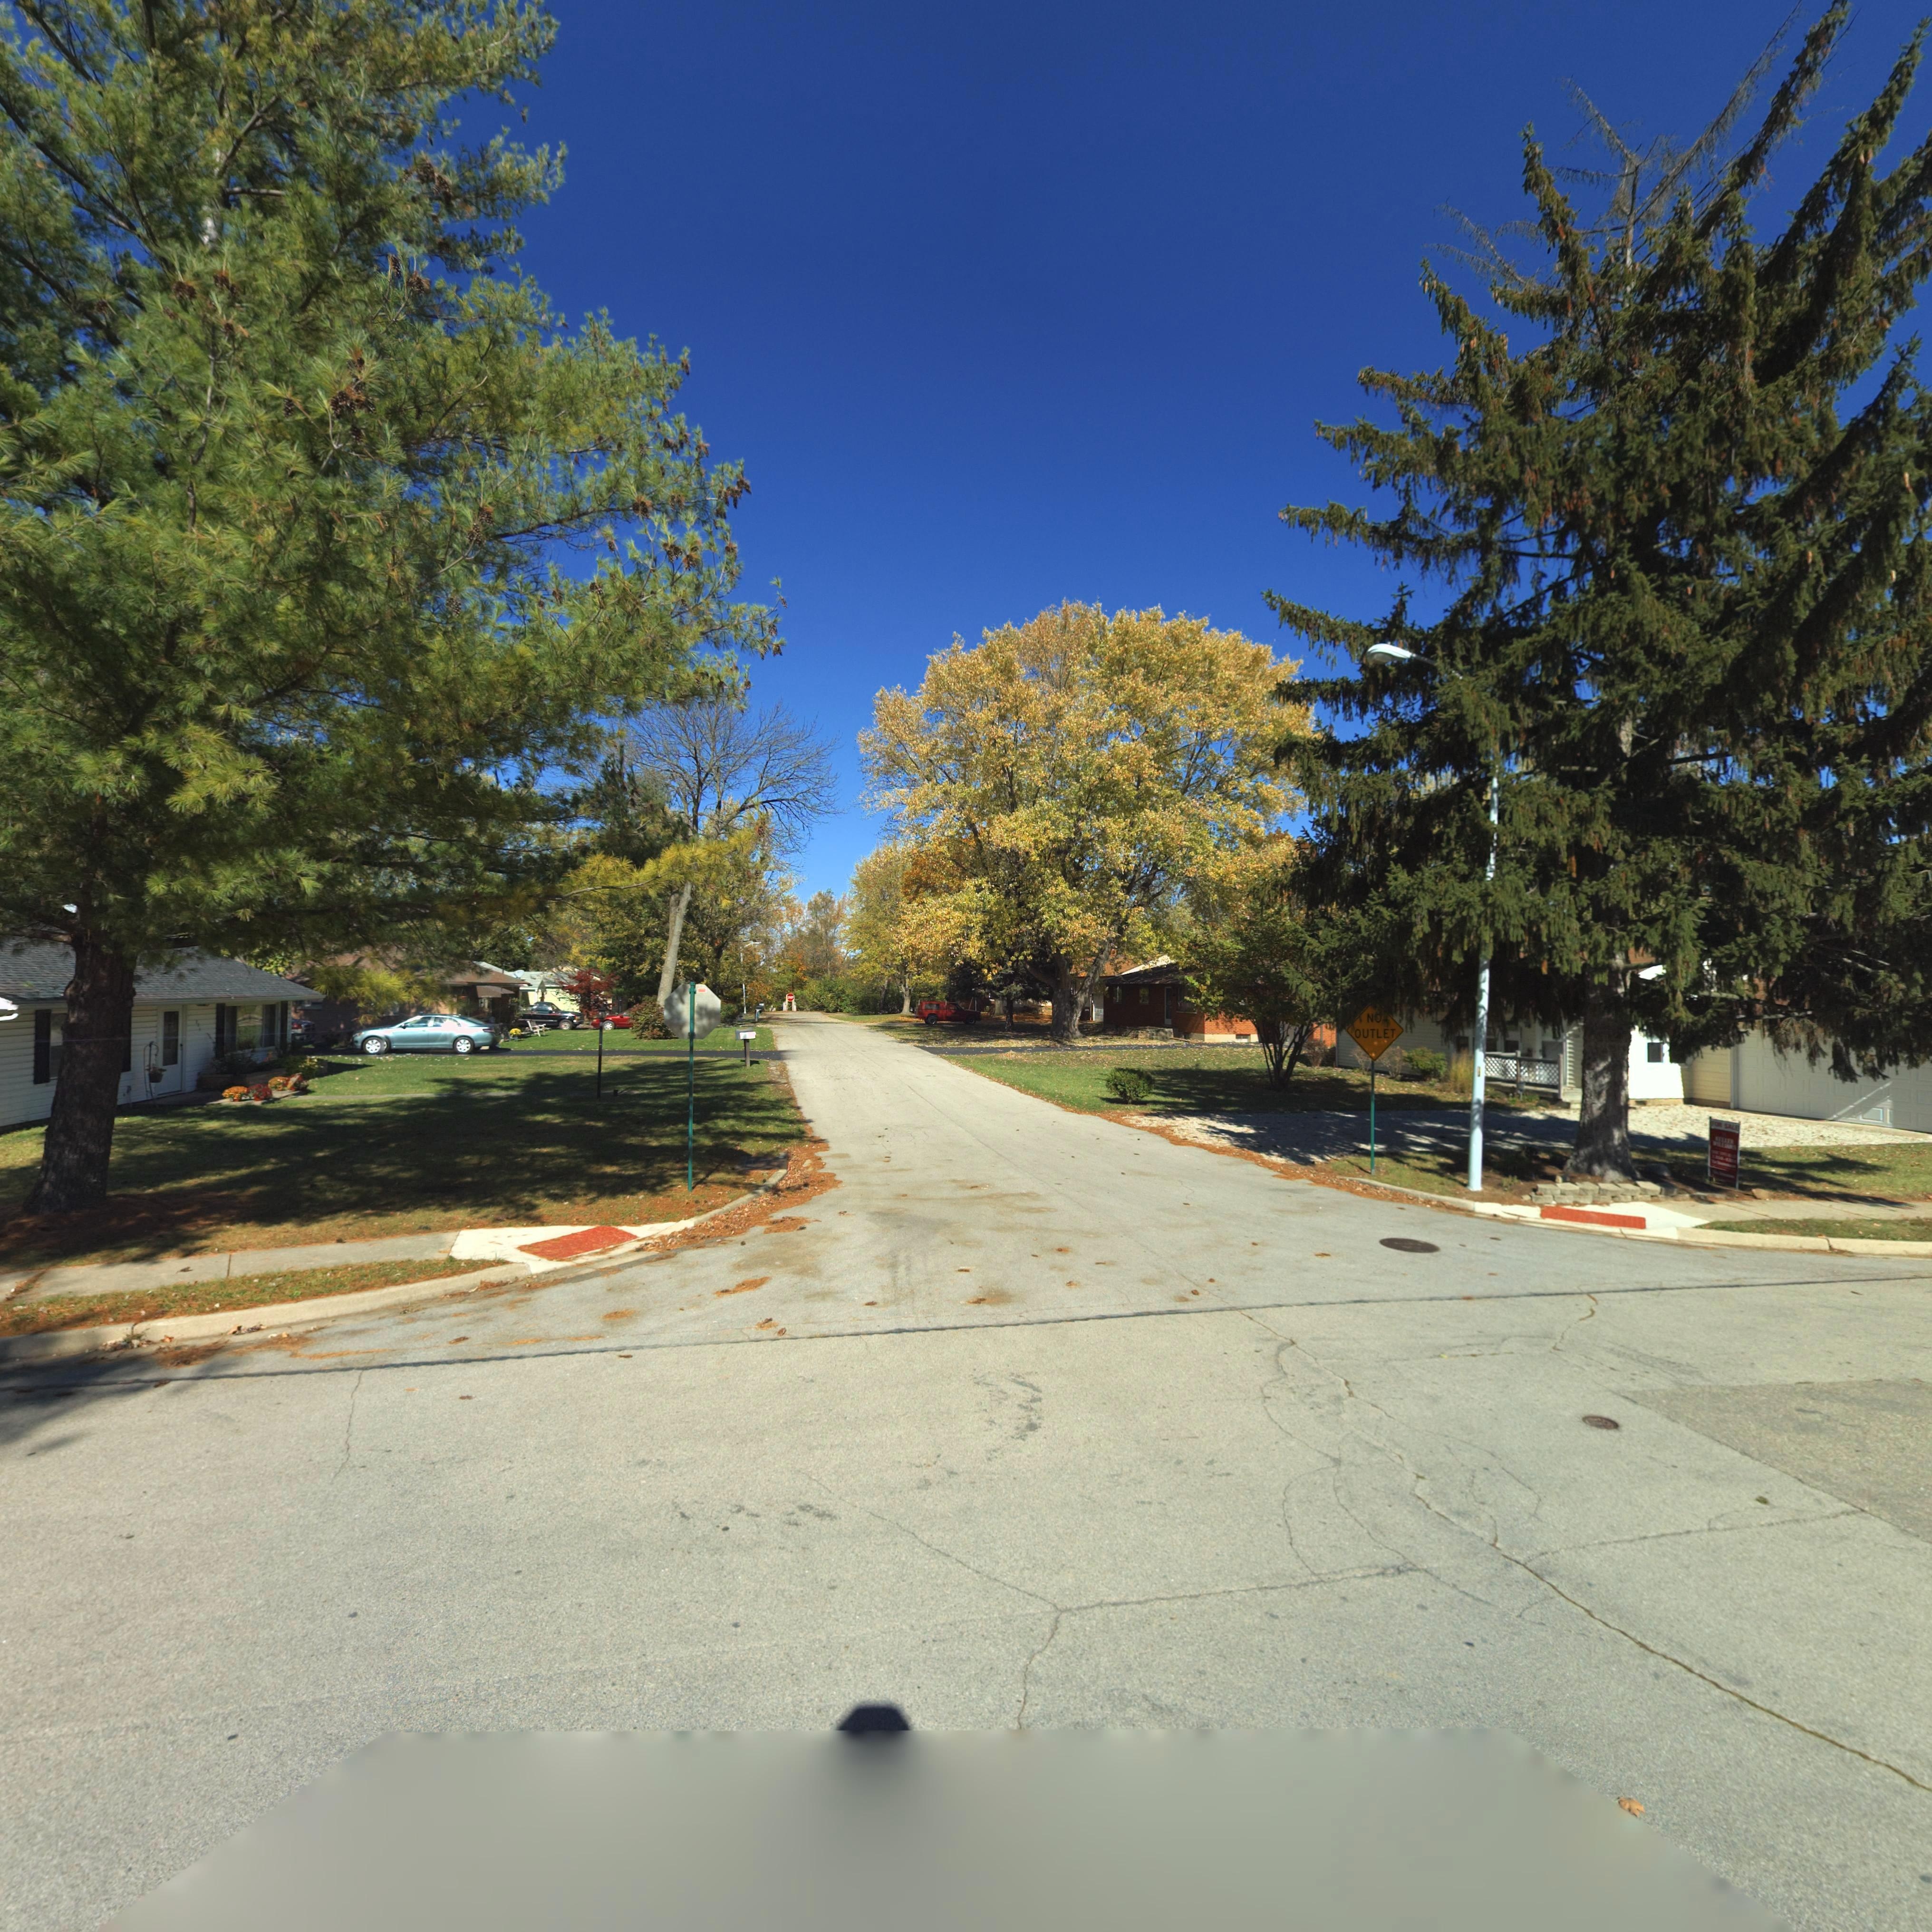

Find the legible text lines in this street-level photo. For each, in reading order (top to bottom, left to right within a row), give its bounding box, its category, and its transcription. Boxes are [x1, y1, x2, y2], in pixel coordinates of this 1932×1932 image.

[194, 1019, 201, 1032] StreetNumber: 7**